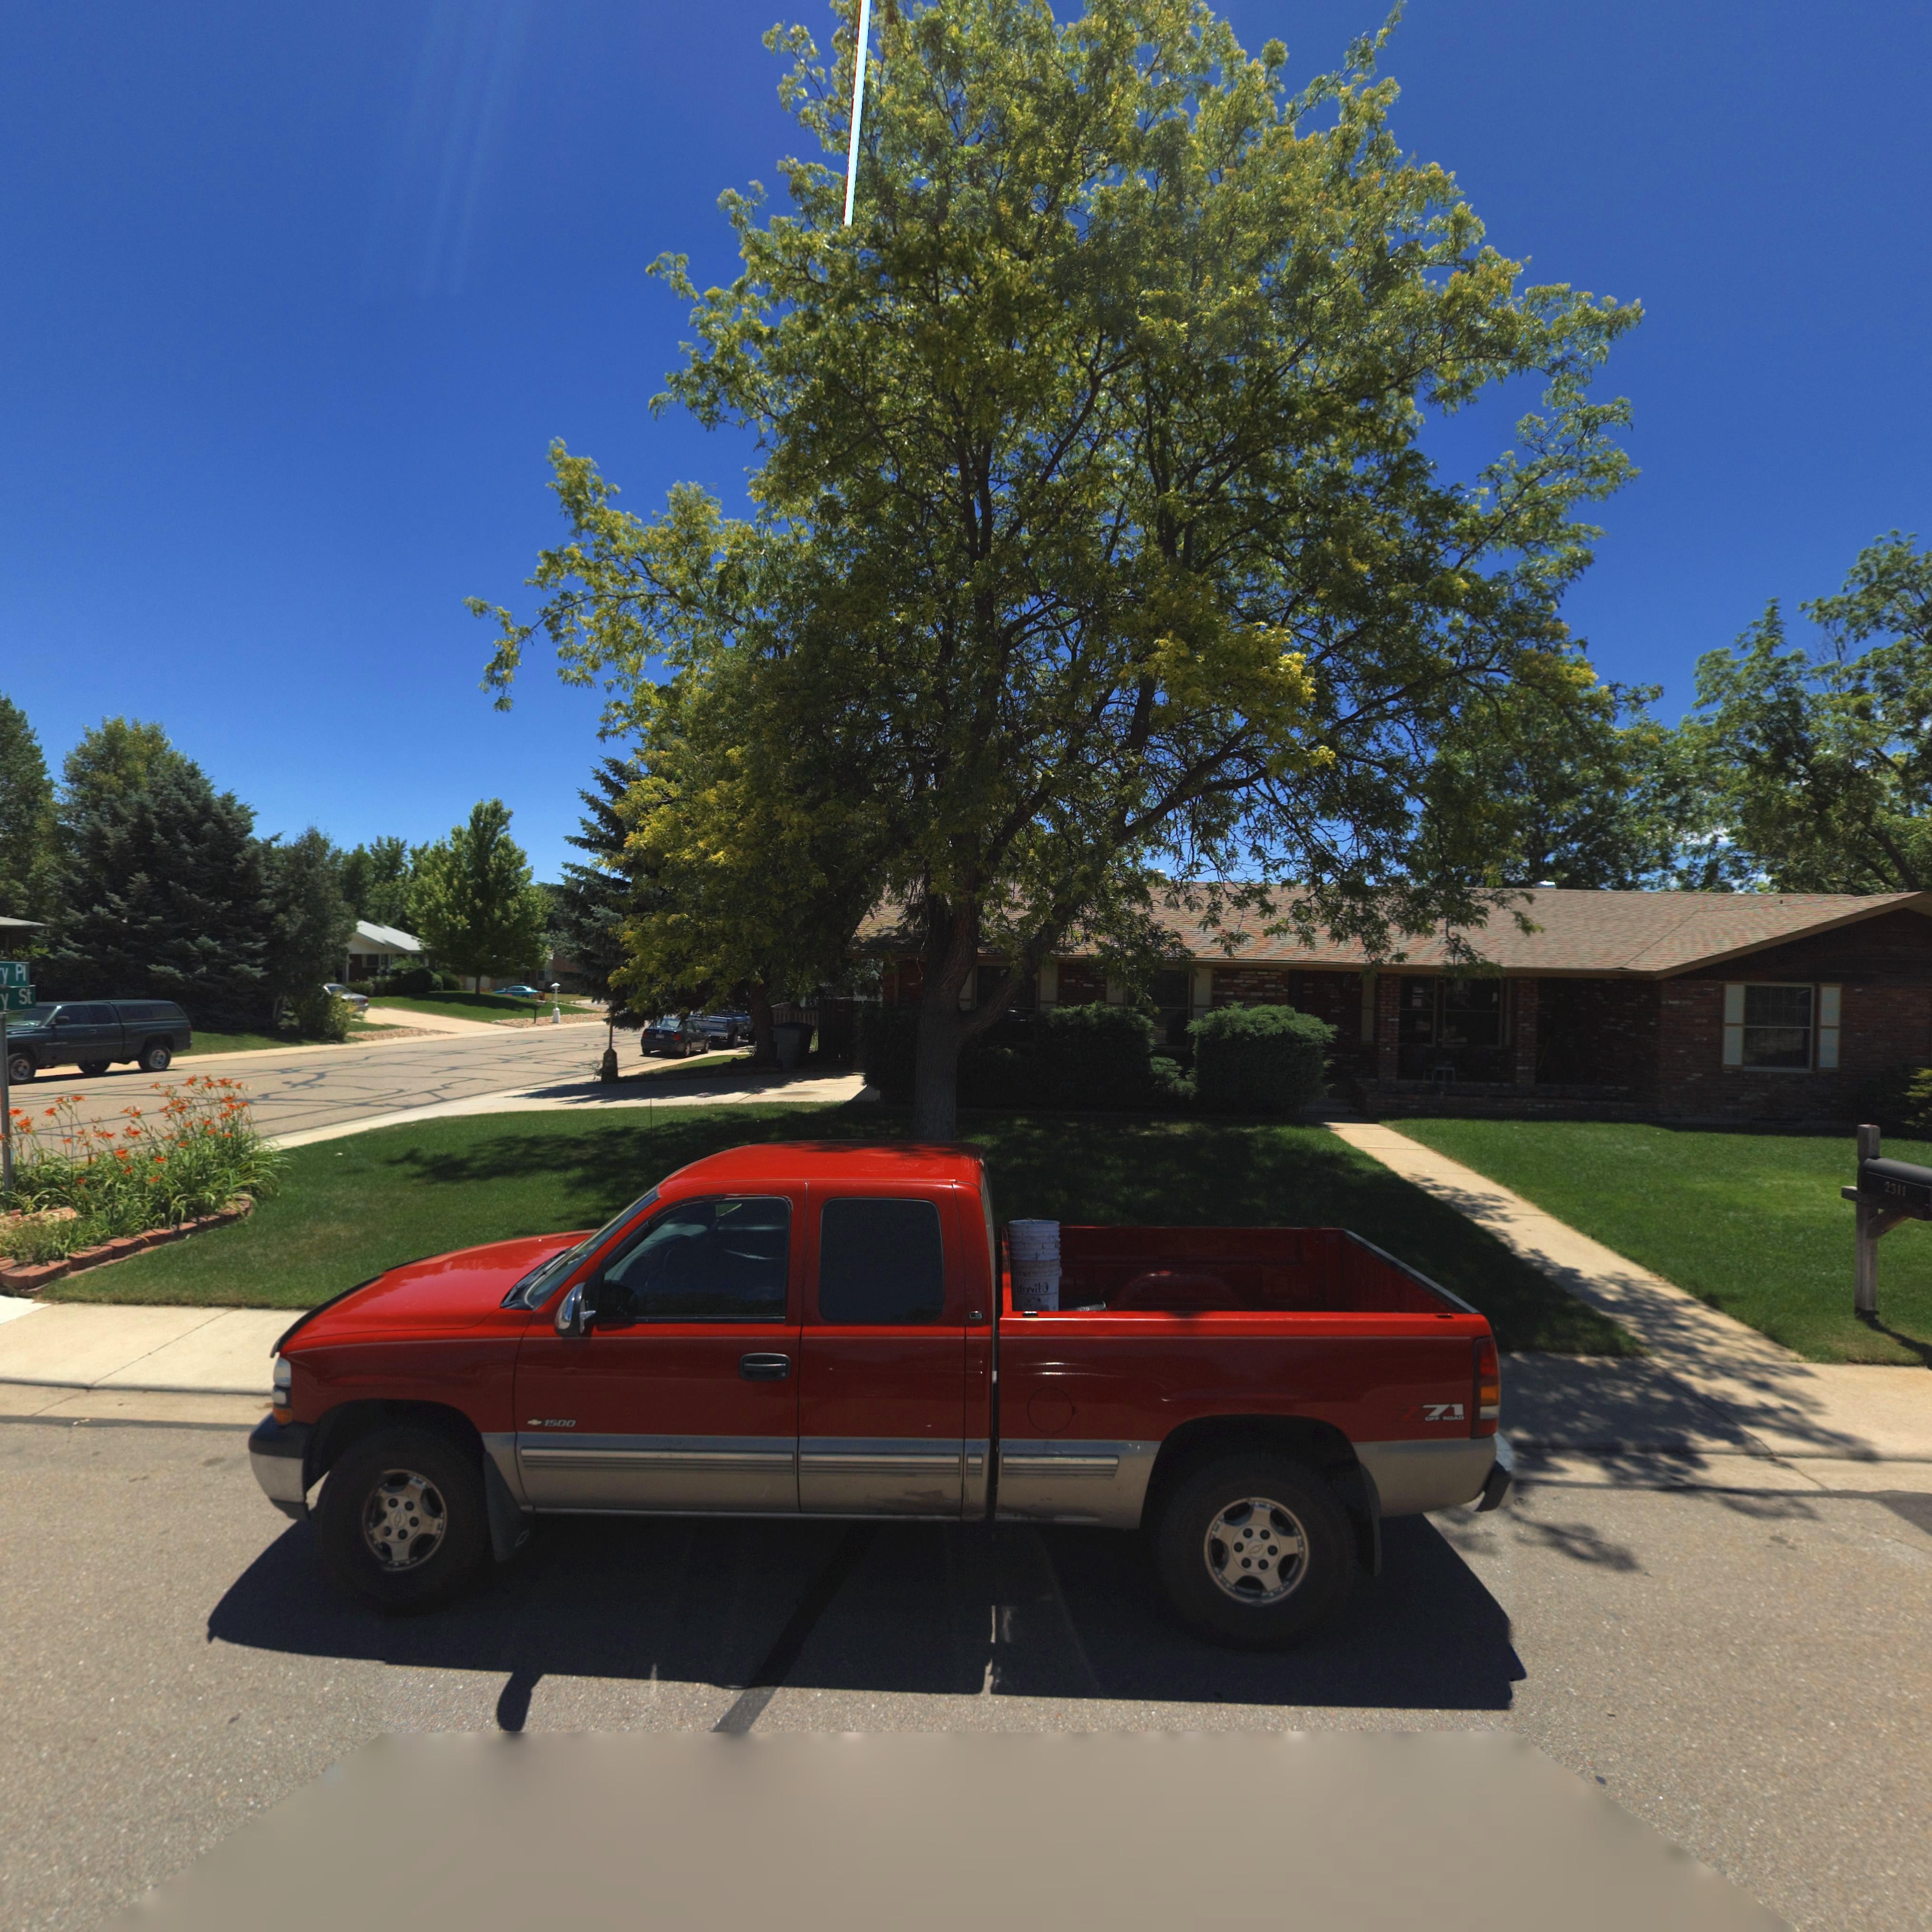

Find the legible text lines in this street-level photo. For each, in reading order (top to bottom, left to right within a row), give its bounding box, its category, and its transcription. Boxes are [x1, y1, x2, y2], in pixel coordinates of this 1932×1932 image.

[15, 963, 26, 982] StreetName: Pl
[18, 987, 32, 1005] StreetName: St
[1883, 1180, 1906, 1198] StreetNumber: 2311